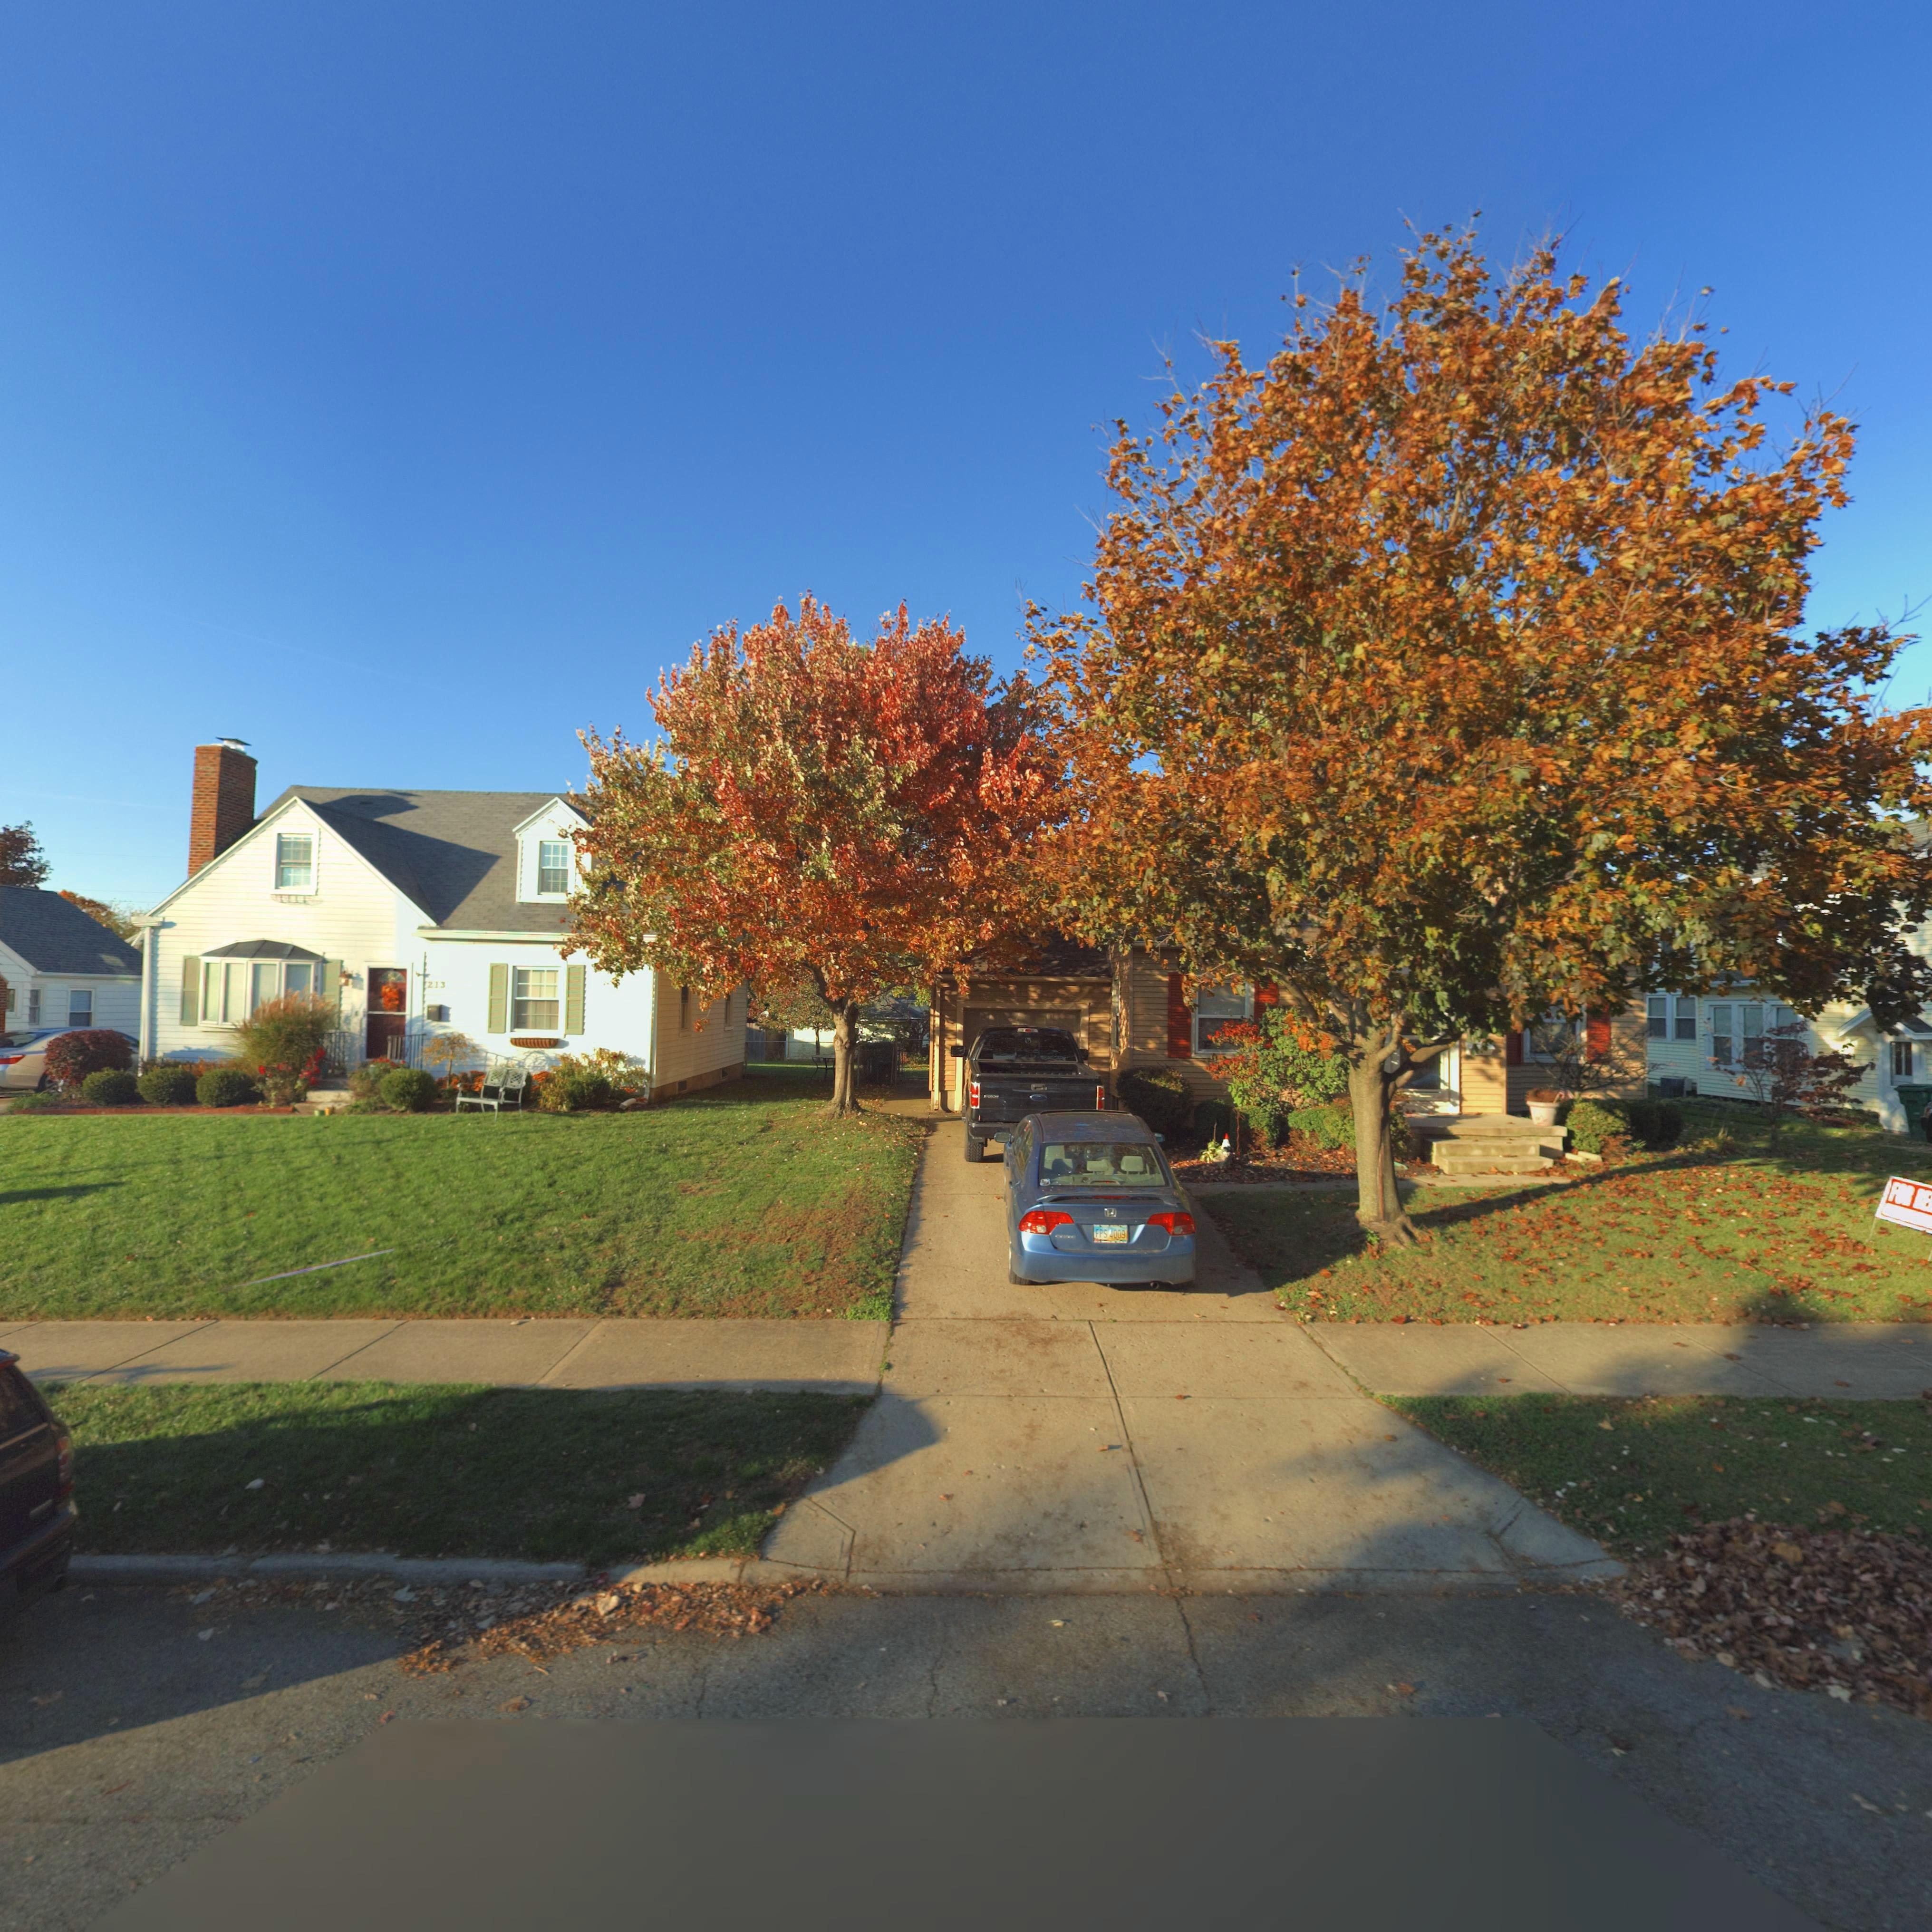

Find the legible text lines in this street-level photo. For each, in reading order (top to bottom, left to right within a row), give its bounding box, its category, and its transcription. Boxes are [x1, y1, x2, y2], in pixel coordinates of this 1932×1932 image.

[427, 981, 445, 988] StreetNumber: 213